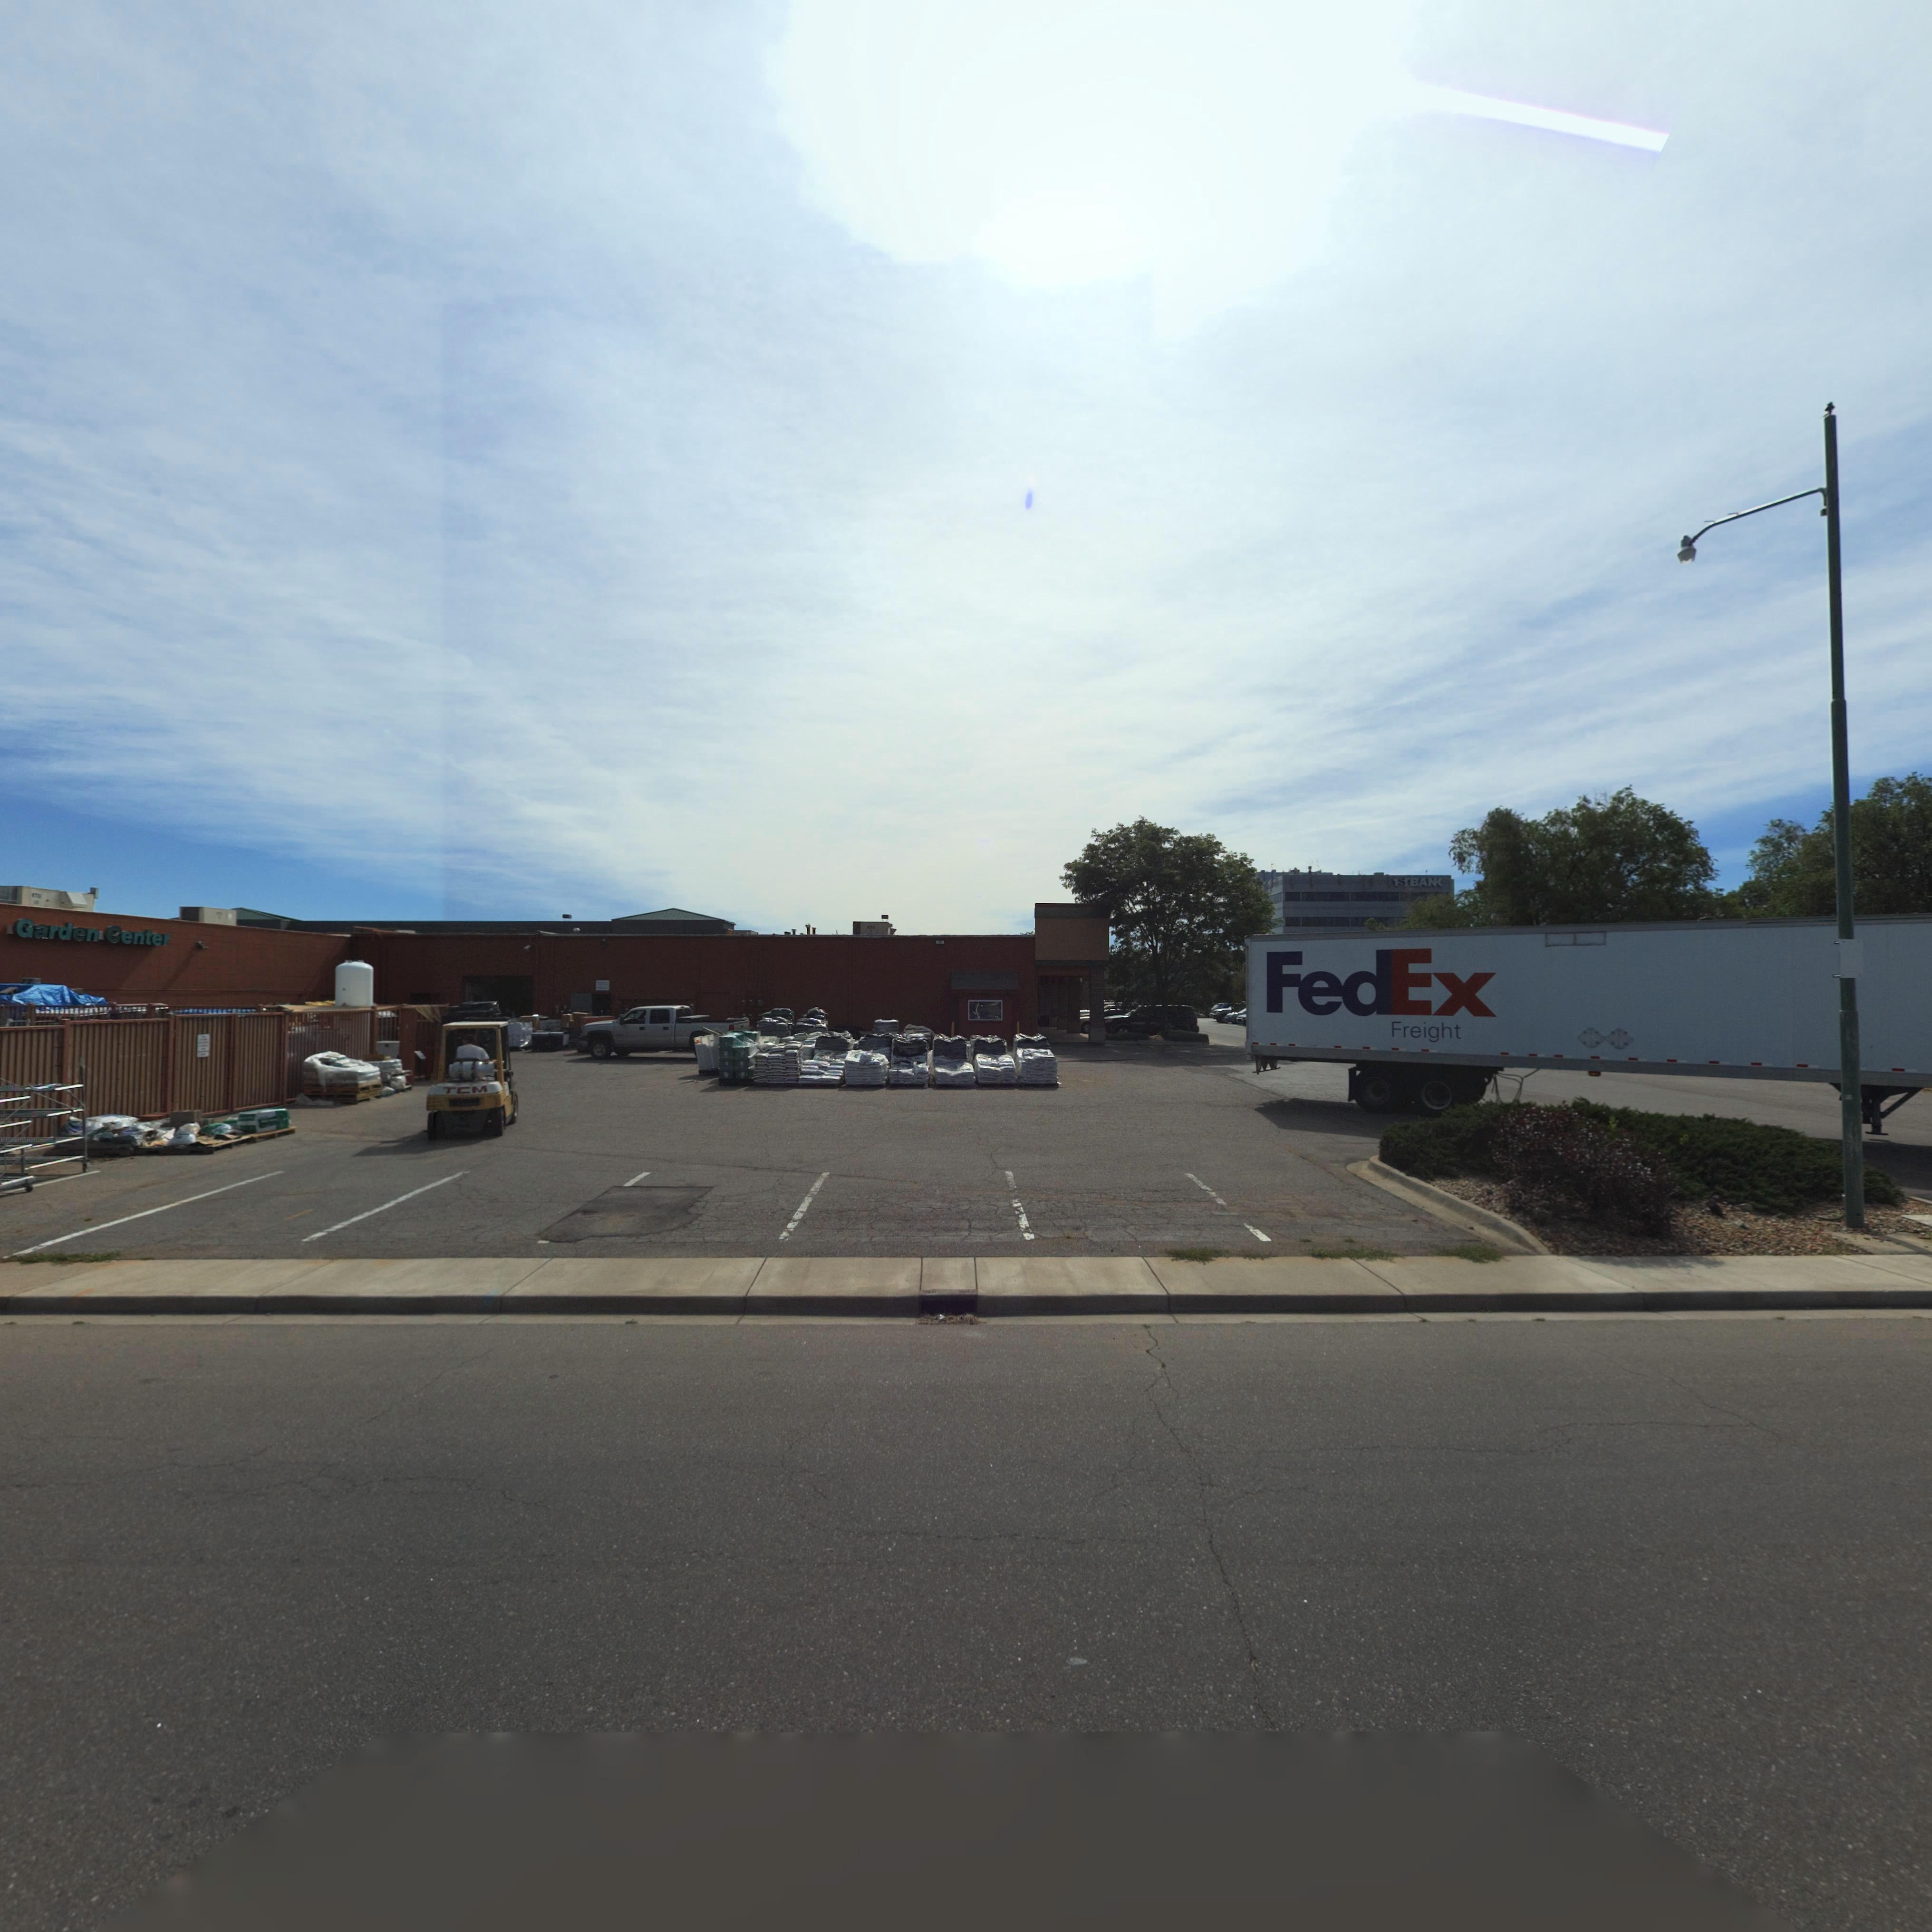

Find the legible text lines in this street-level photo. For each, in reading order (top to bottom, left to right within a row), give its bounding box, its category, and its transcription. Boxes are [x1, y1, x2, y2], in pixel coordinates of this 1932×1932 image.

[1391, 876, 1443, 888] BusinessName: 1STBANK